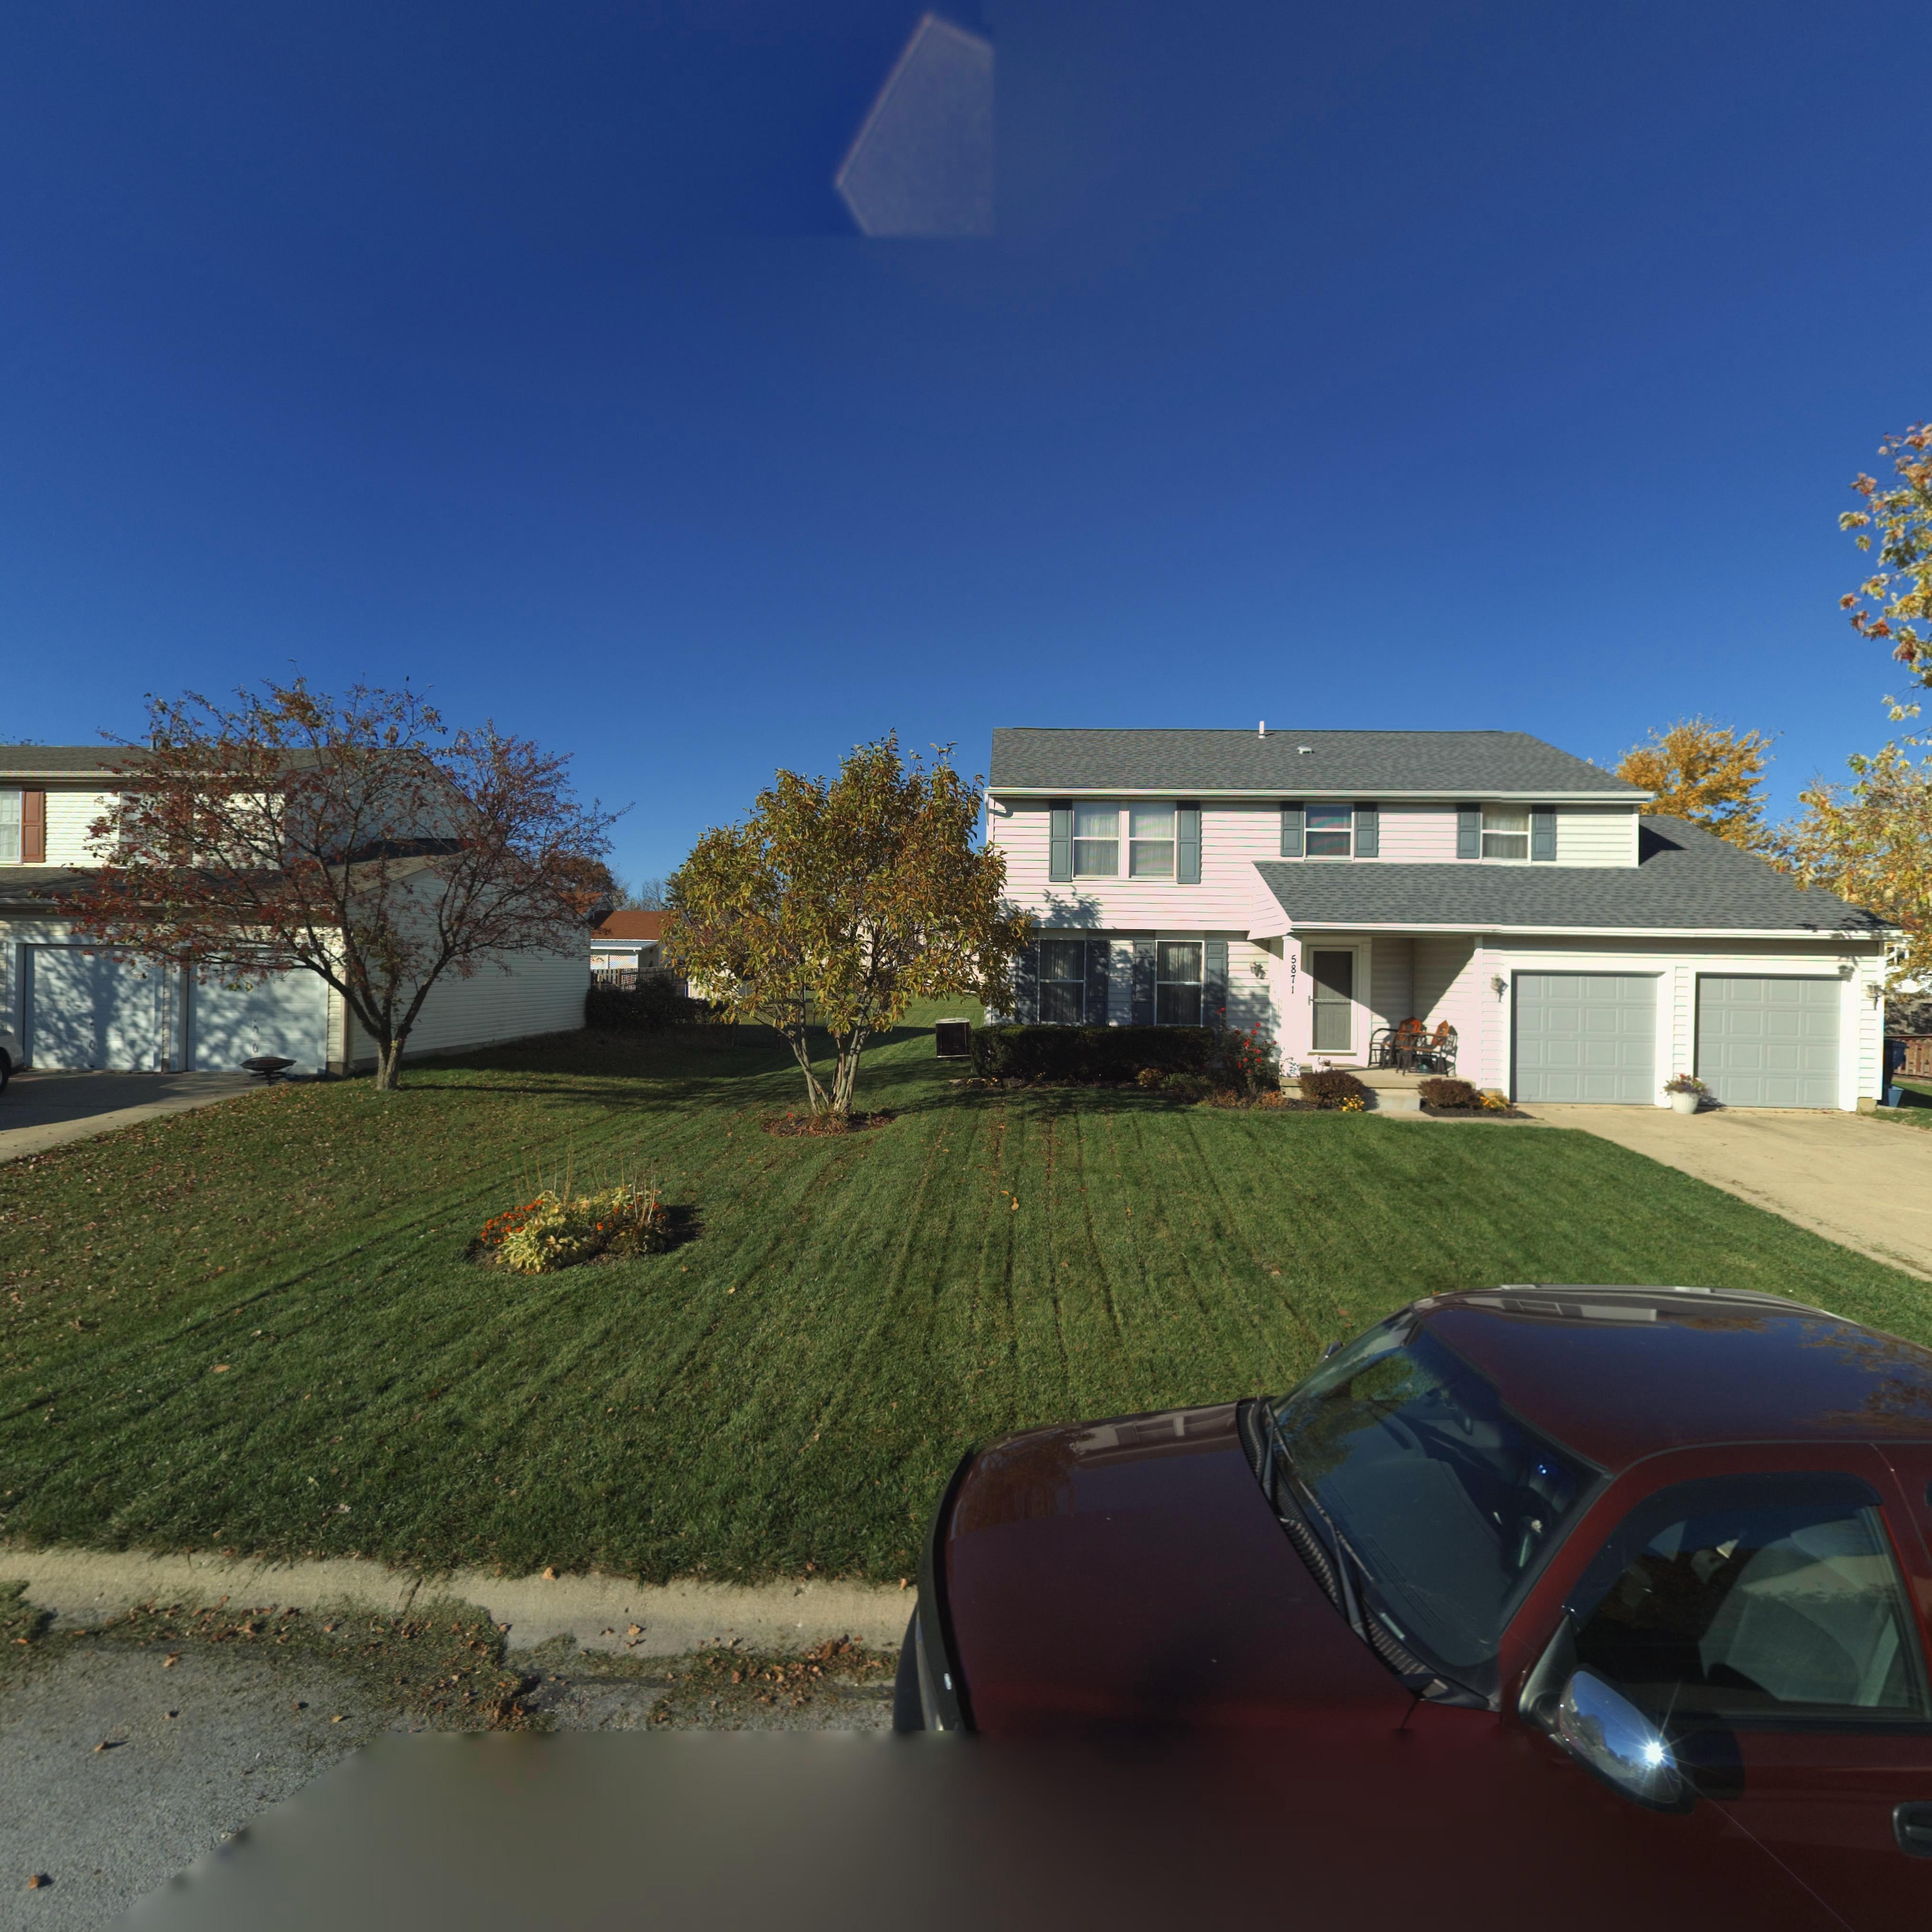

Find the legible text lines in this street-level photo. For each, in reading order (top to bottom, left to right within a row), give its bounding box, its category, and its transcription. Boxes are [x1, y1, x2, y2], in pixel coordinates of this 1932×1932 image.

[1290, 953, 1298, 995] StreetNumber: 5871